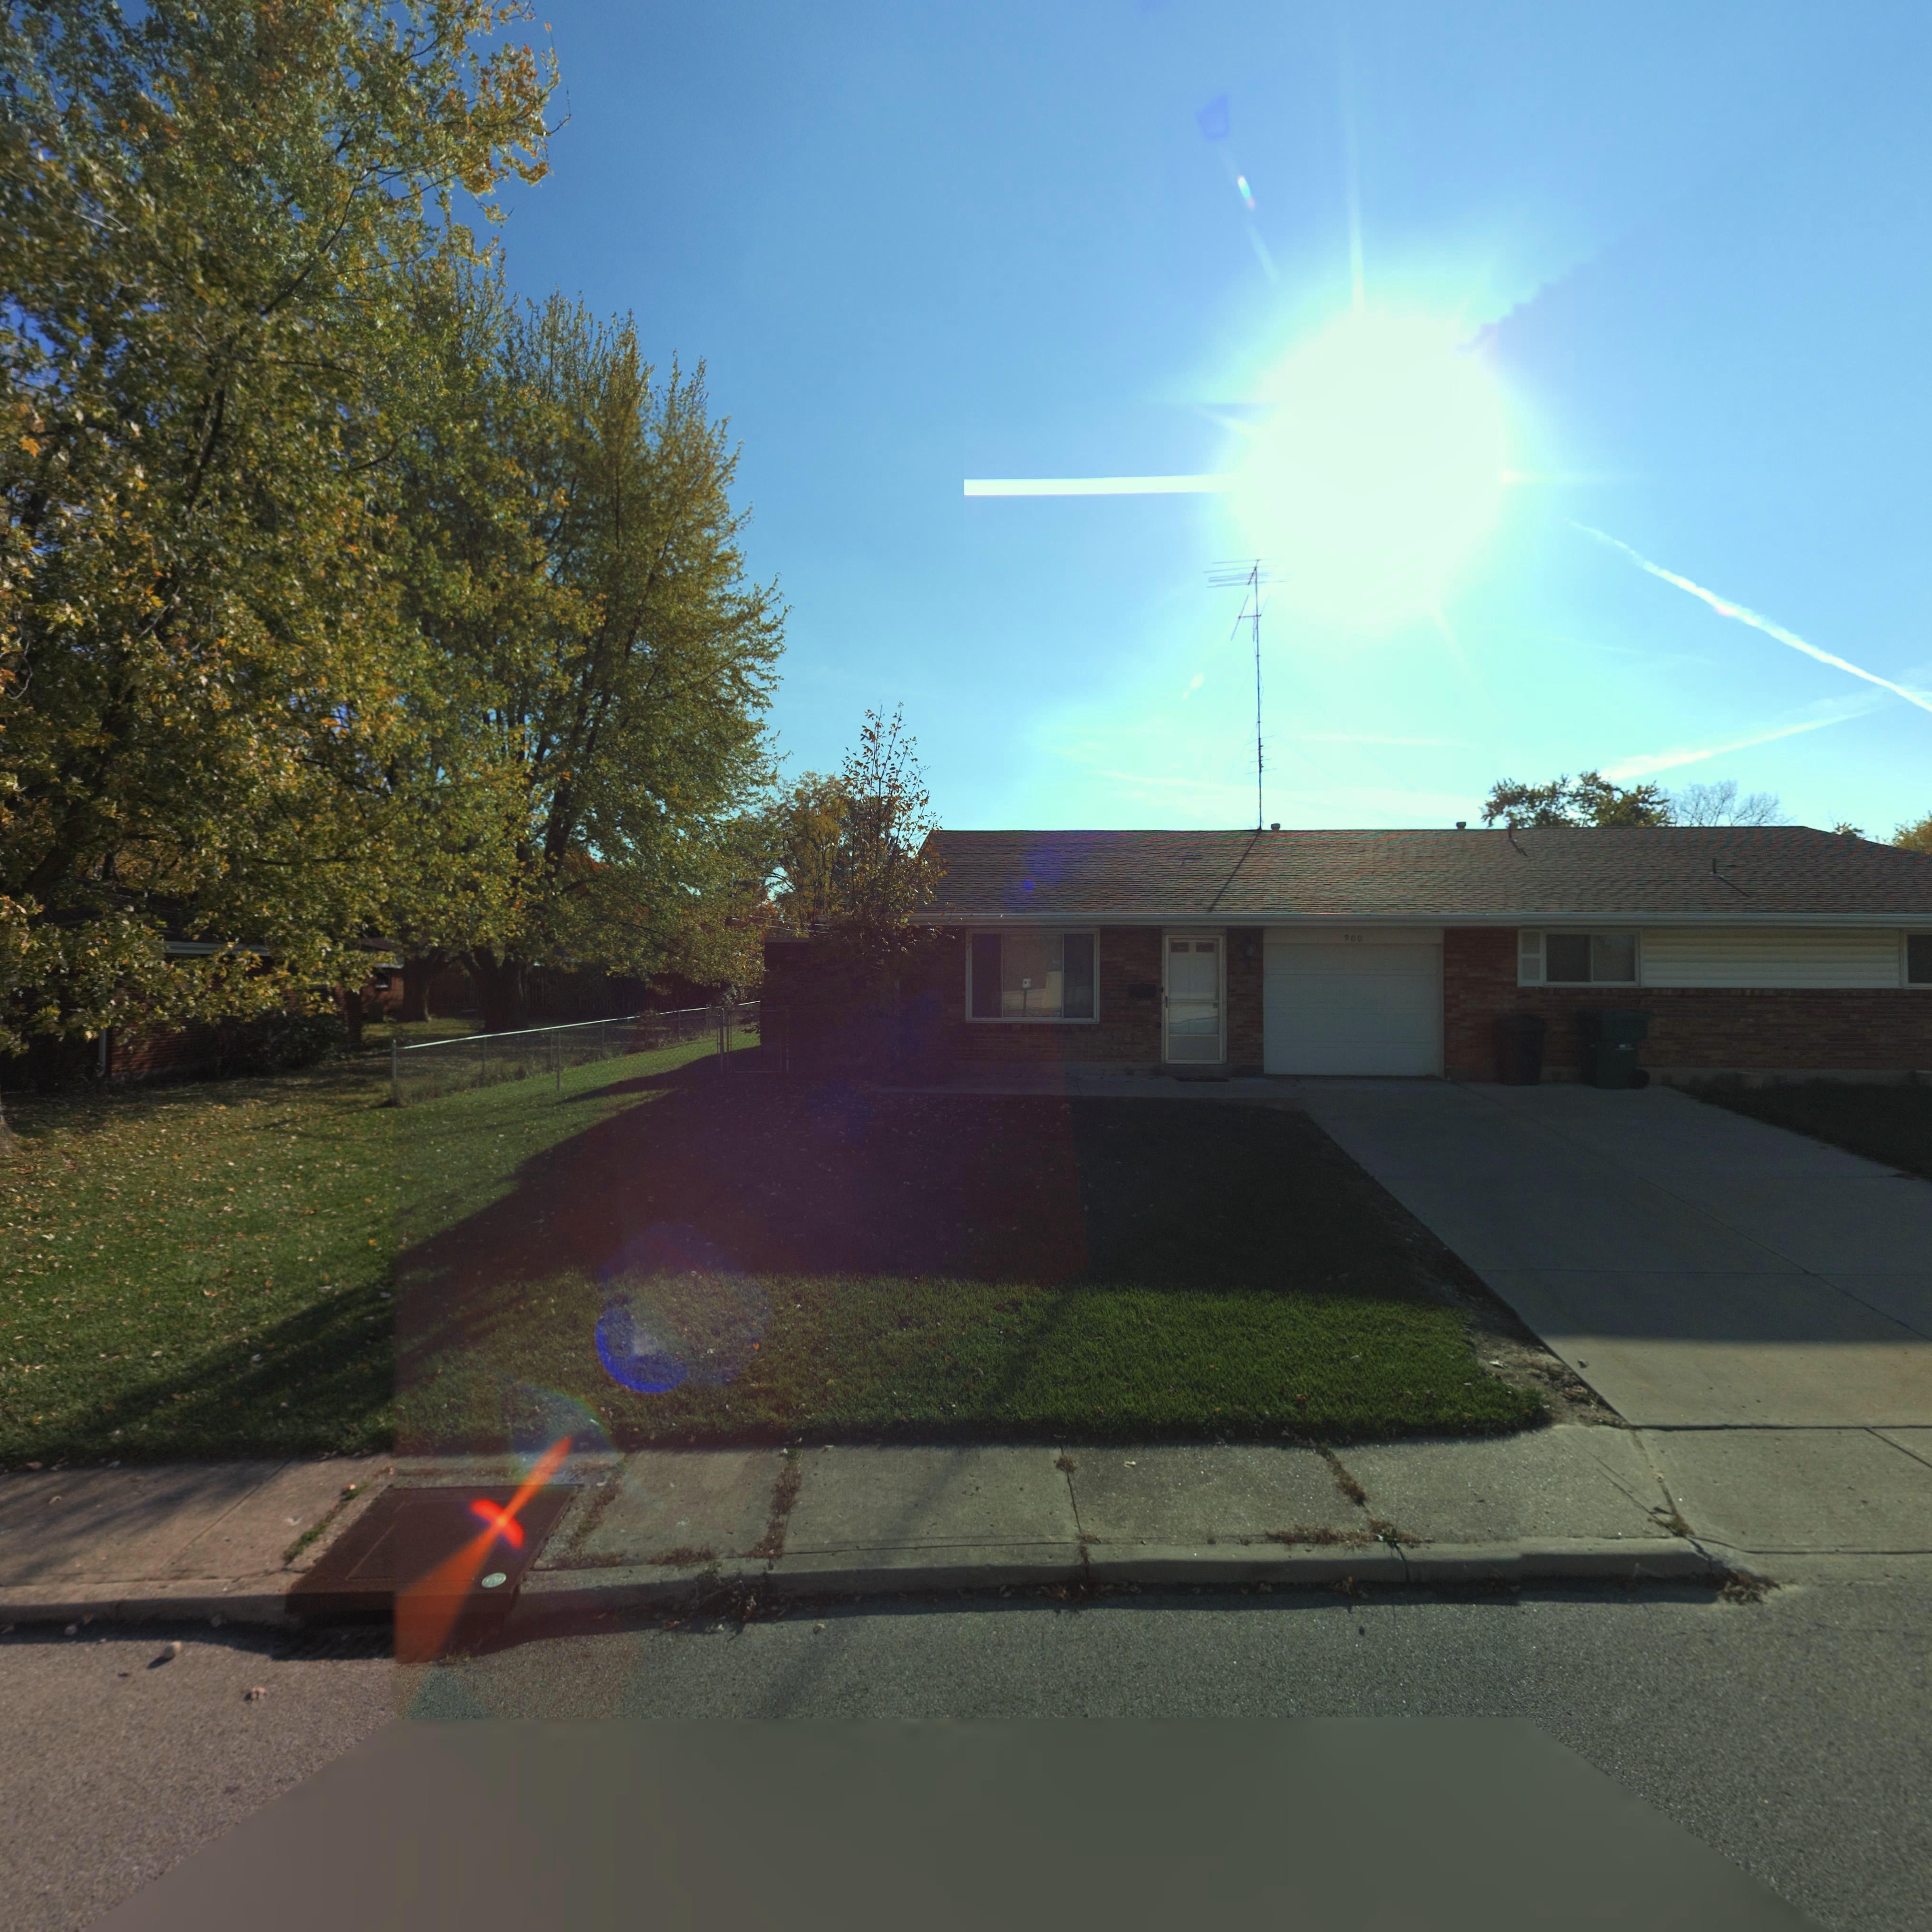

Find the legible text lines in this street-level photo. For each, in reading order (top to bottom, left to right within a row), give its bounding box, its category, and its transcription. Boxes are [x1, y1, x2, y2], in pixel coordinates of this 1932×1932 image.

[1343, 934, 1362, 942] StreetNumber: 900